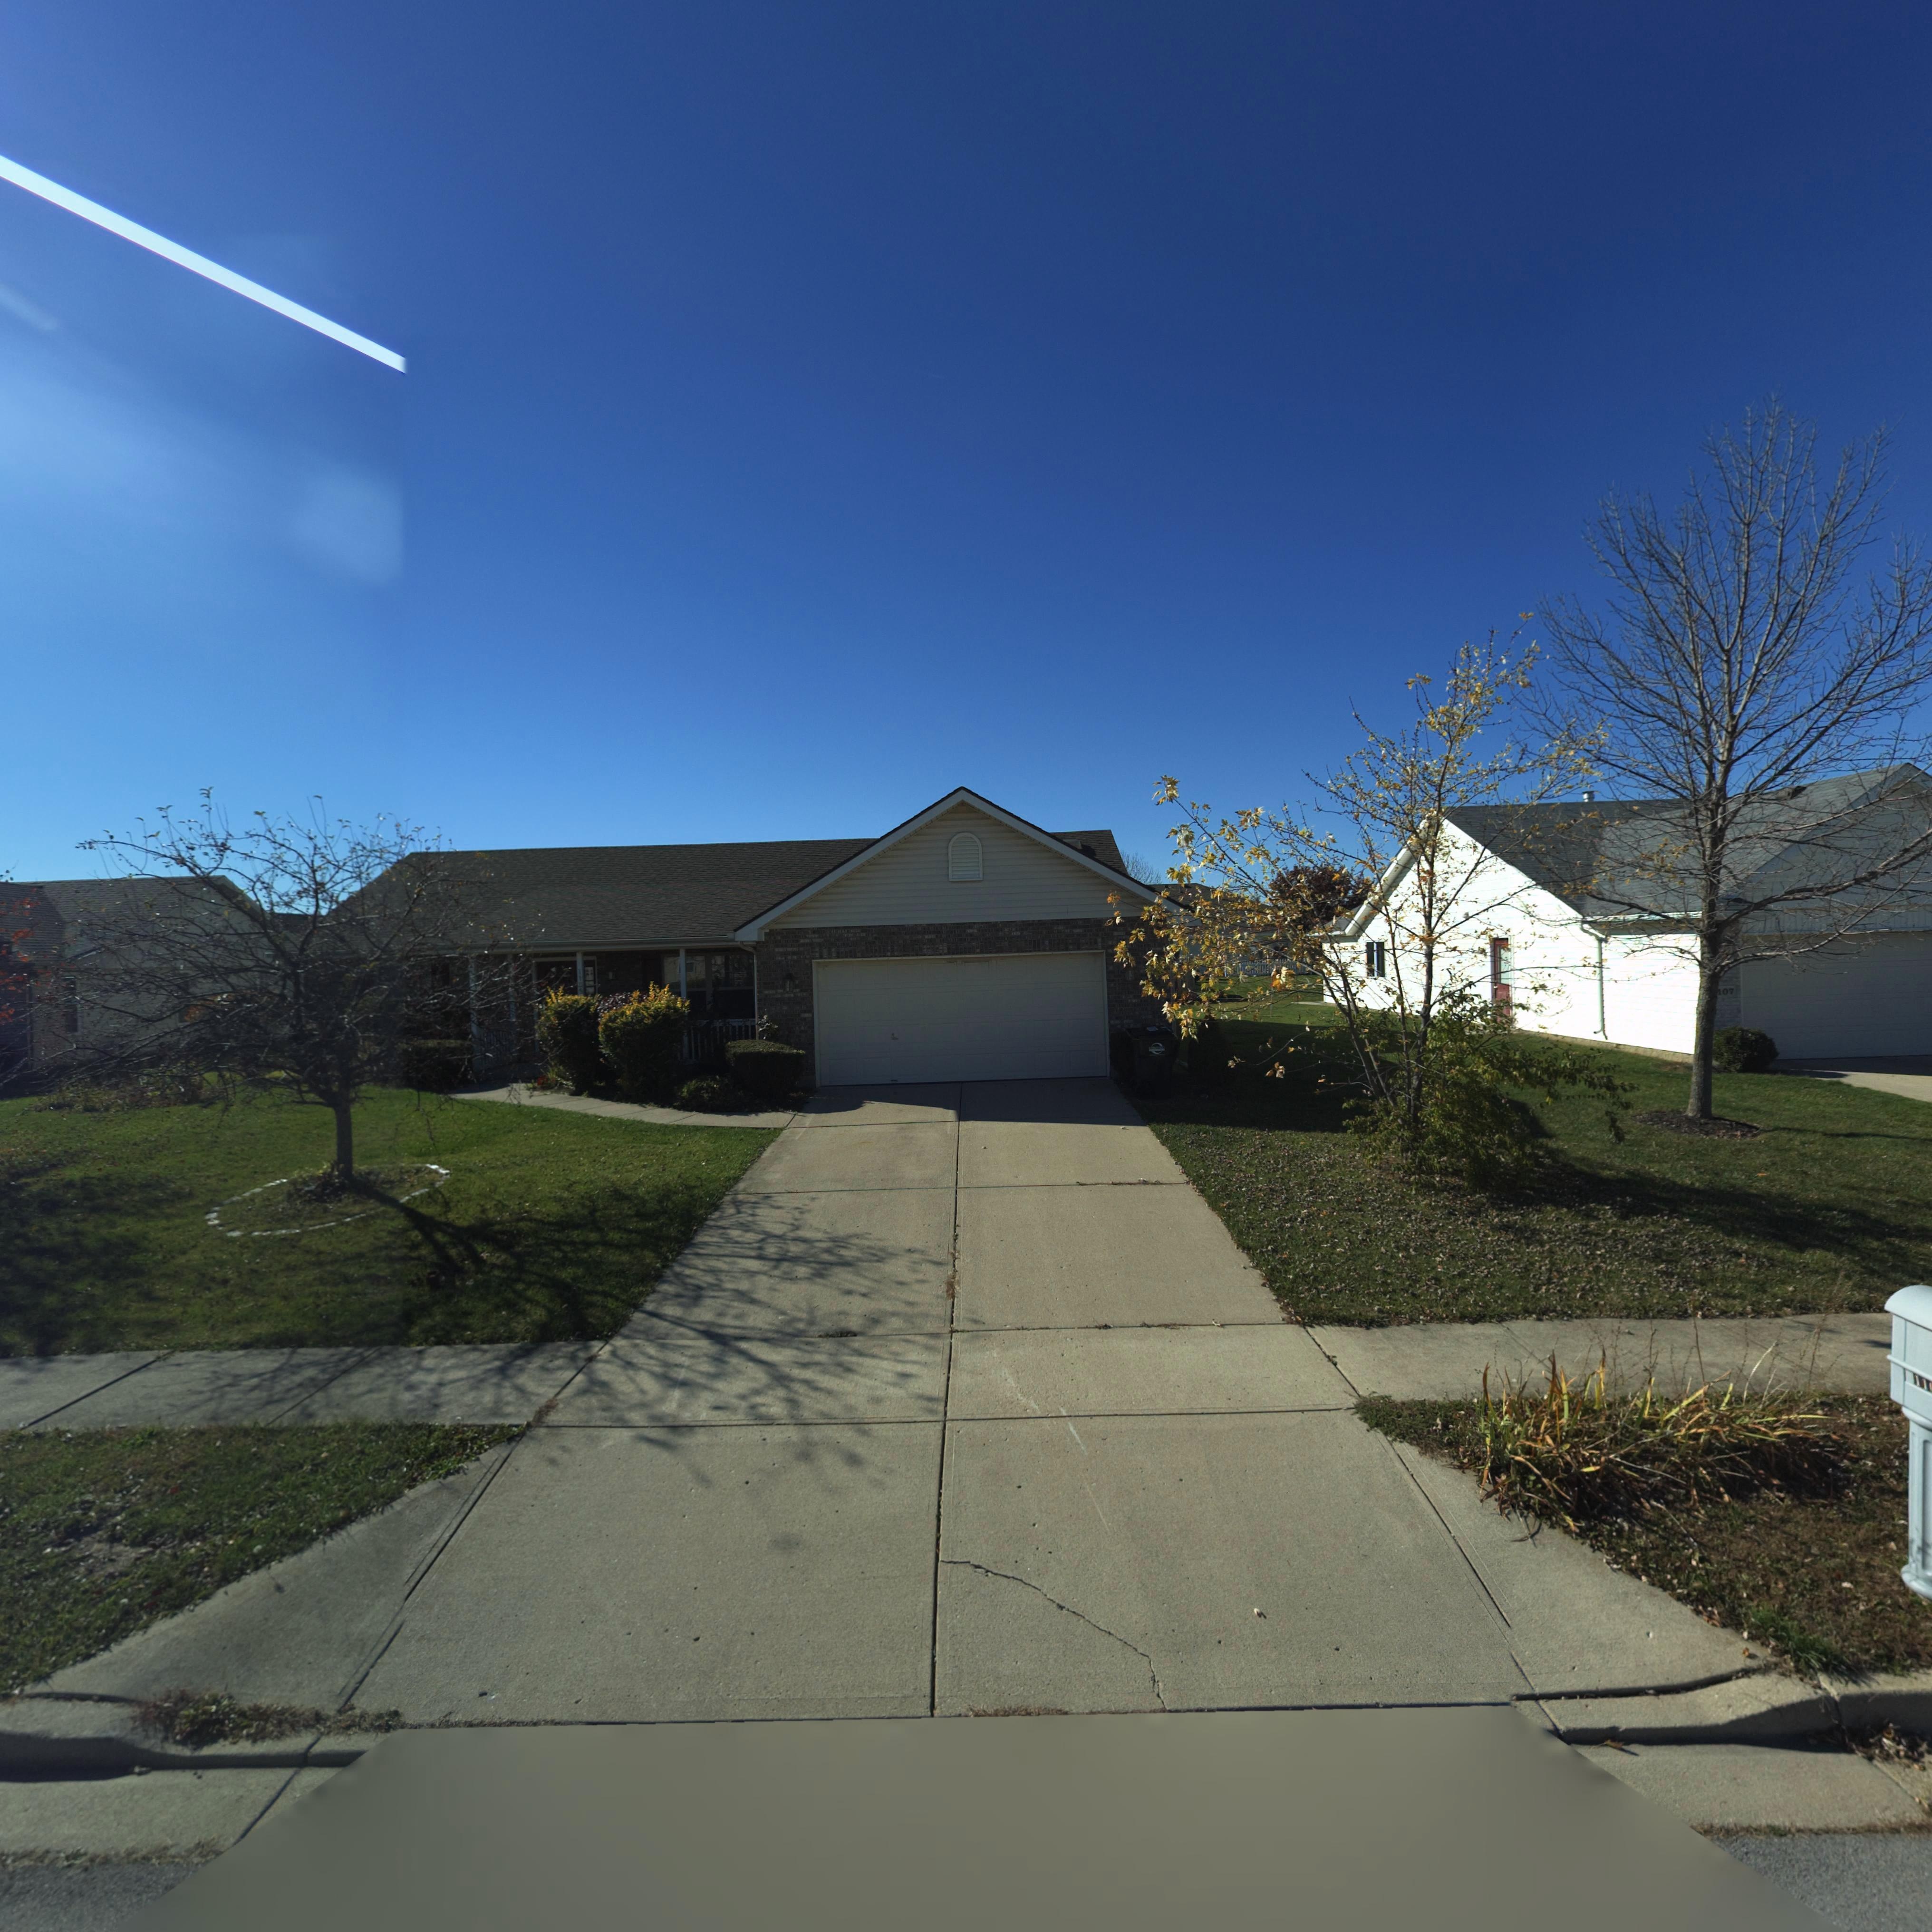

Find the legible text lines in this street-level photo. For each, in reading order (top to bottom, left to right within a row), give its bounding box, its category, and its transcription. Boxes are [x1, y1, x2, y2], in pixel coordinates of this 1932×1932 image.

[1717, 987, 1735, 996] StreetNumber: 107